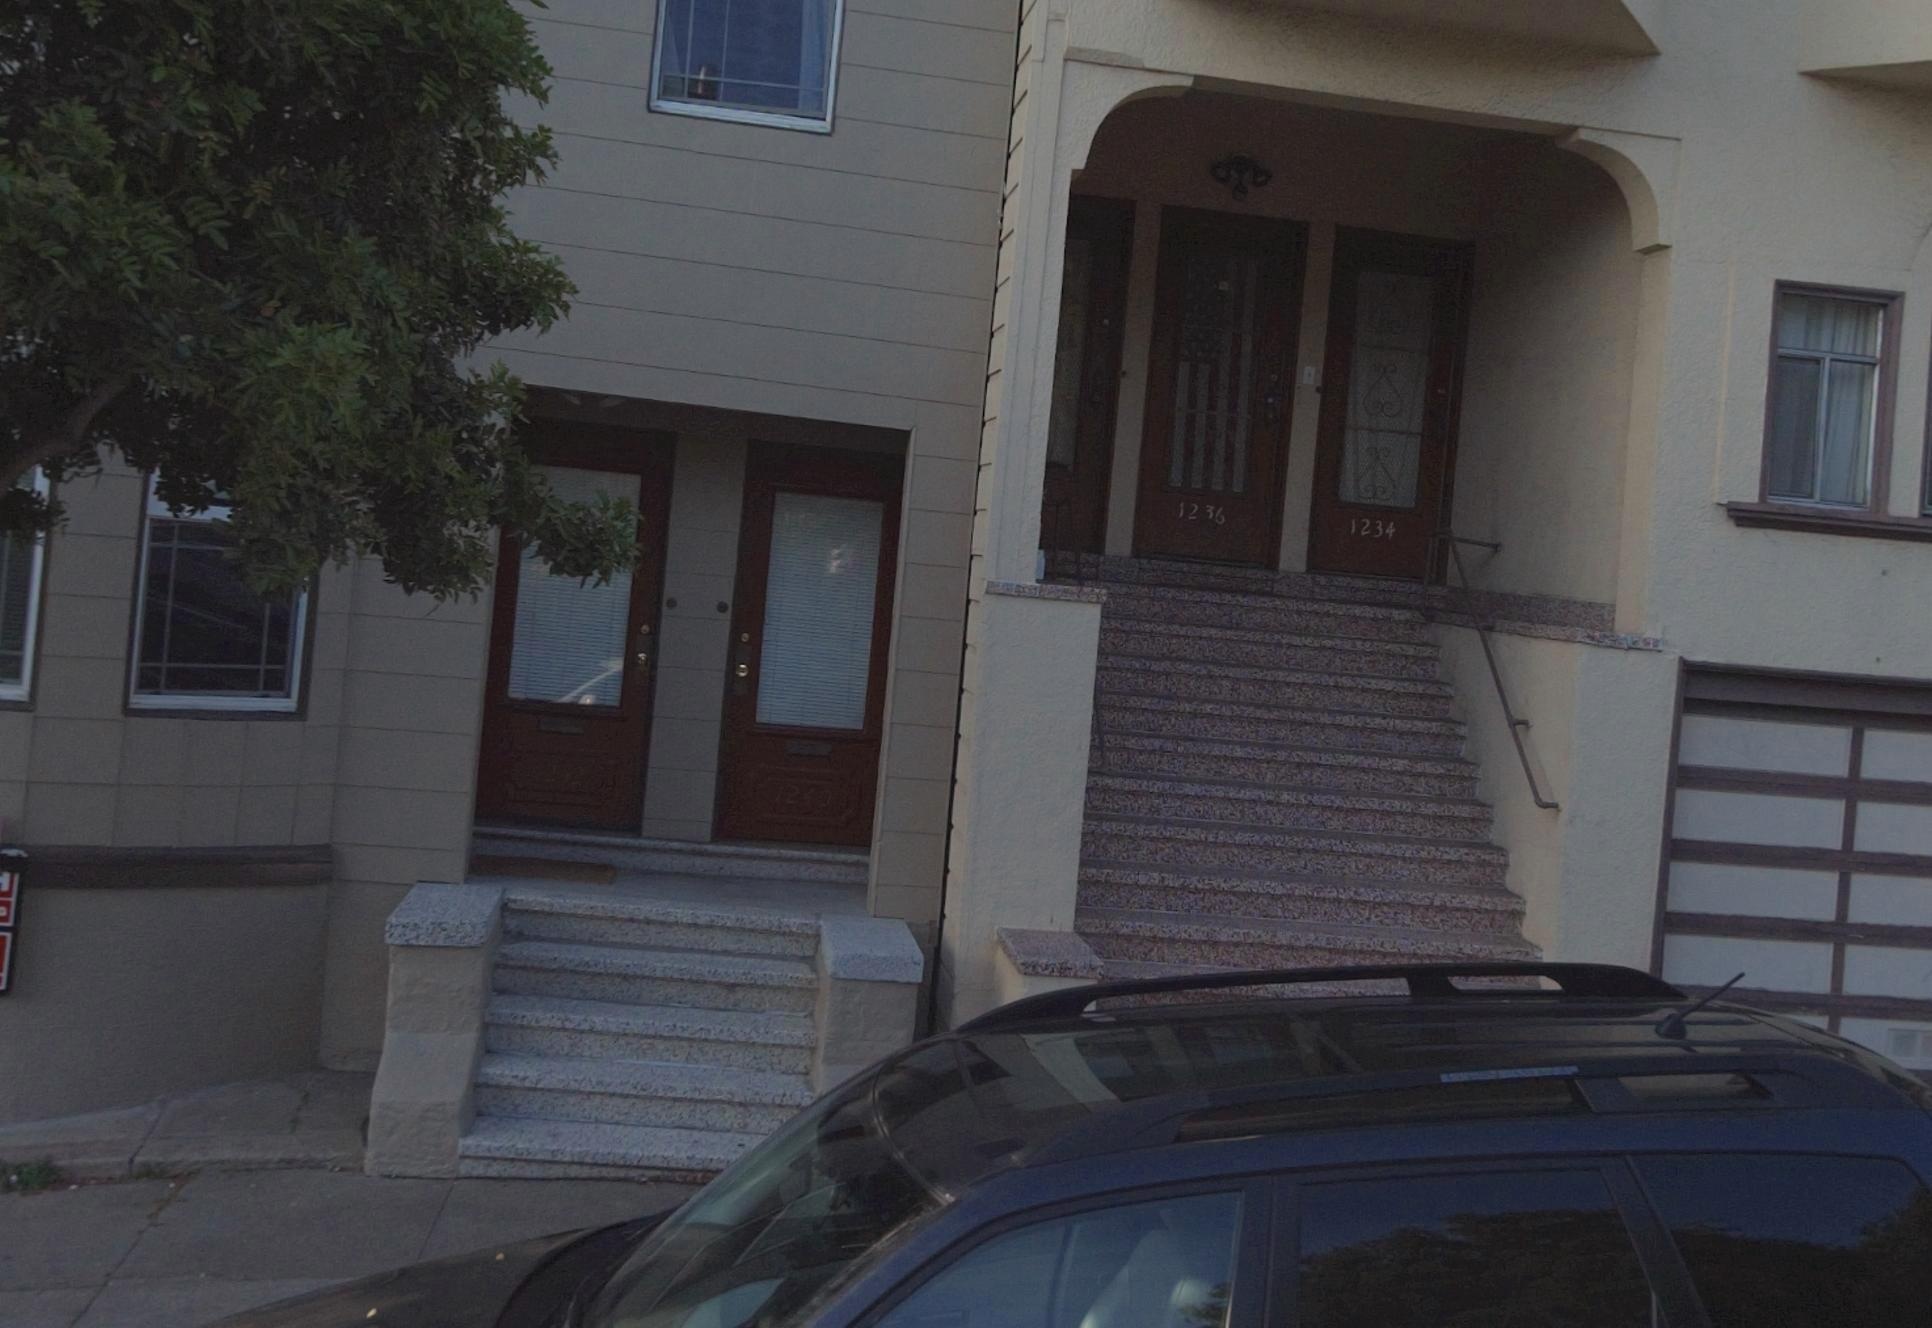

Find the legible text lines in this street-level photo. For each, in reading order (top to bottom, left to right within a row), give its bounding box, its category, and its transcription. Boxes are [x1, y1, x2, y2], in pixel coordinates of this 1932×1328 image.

[1177, 499, 1228, 528] StreetNumber: 1236
[1346, 513, 1401, 542] StreetNumber: 1234
[522, 759, 591, 786] StreetNumber: 1242
[771, 781, 837, 811] StreetNumber: 1240